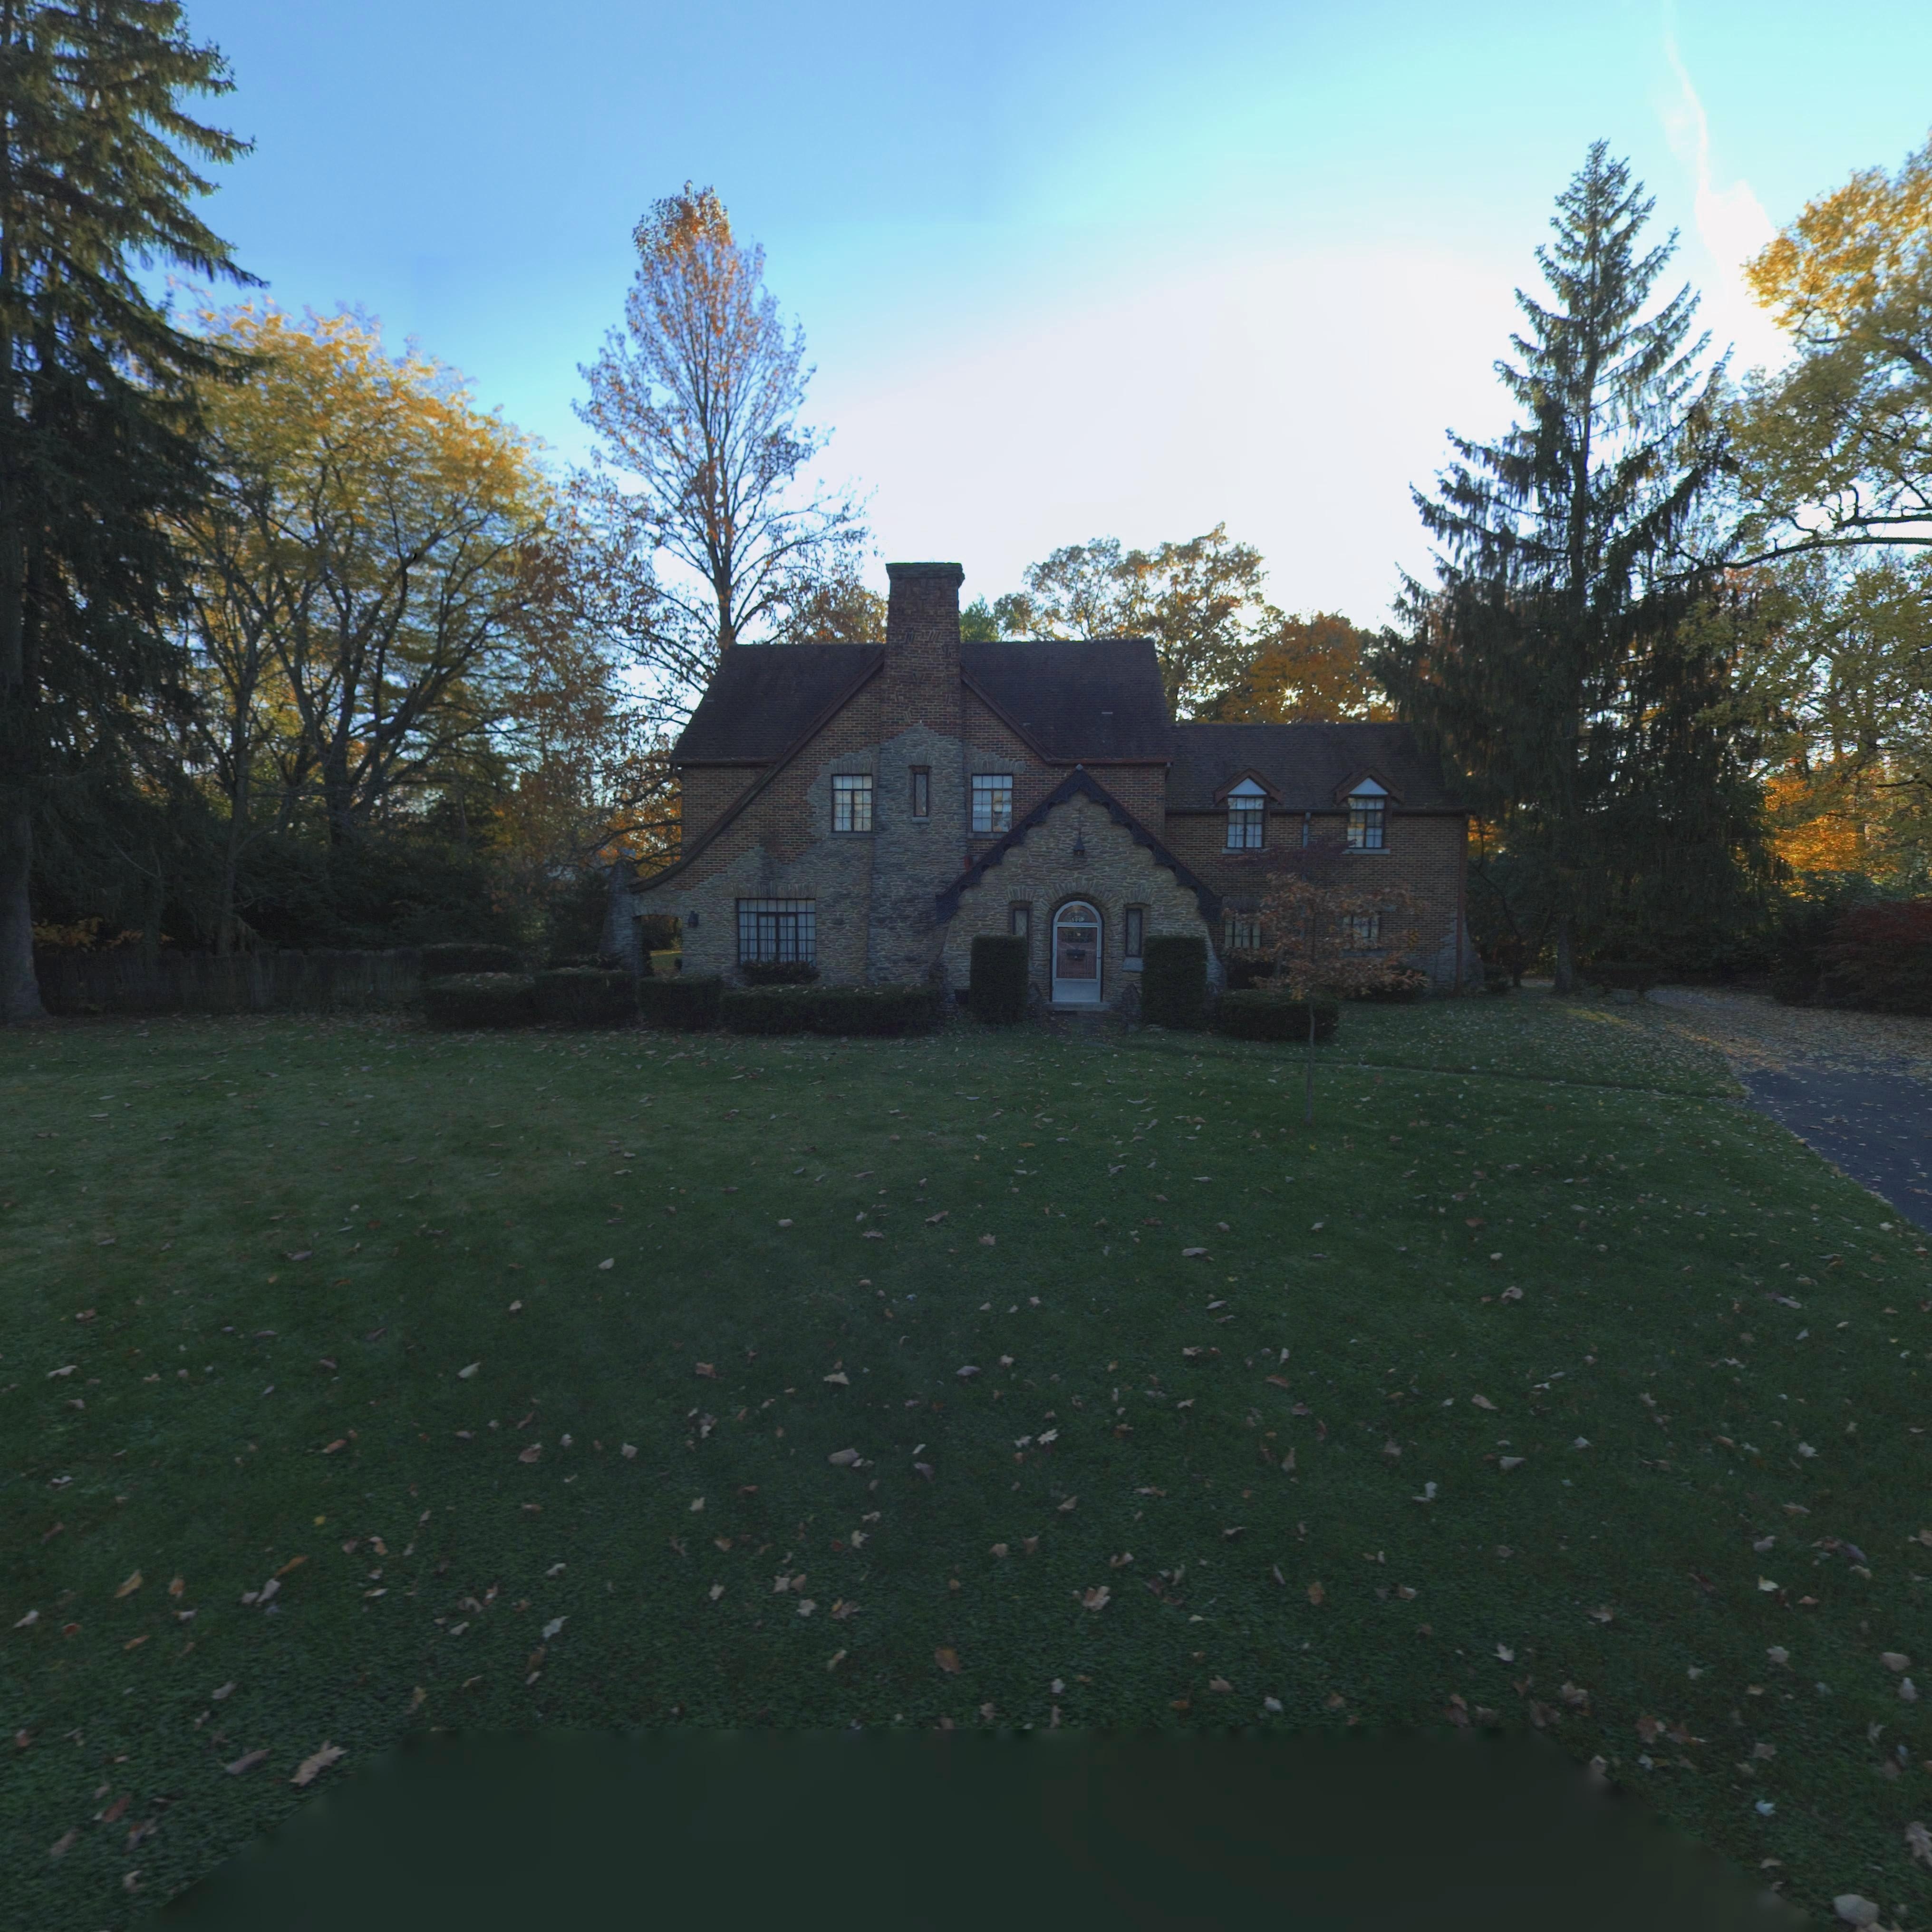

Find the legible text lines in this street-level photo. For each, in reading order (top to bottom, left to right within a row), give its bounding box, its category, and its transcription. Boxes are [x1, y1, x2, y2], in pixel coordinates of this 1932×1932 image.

[1071, 917, 1082, 923] StreetNumber: 50*